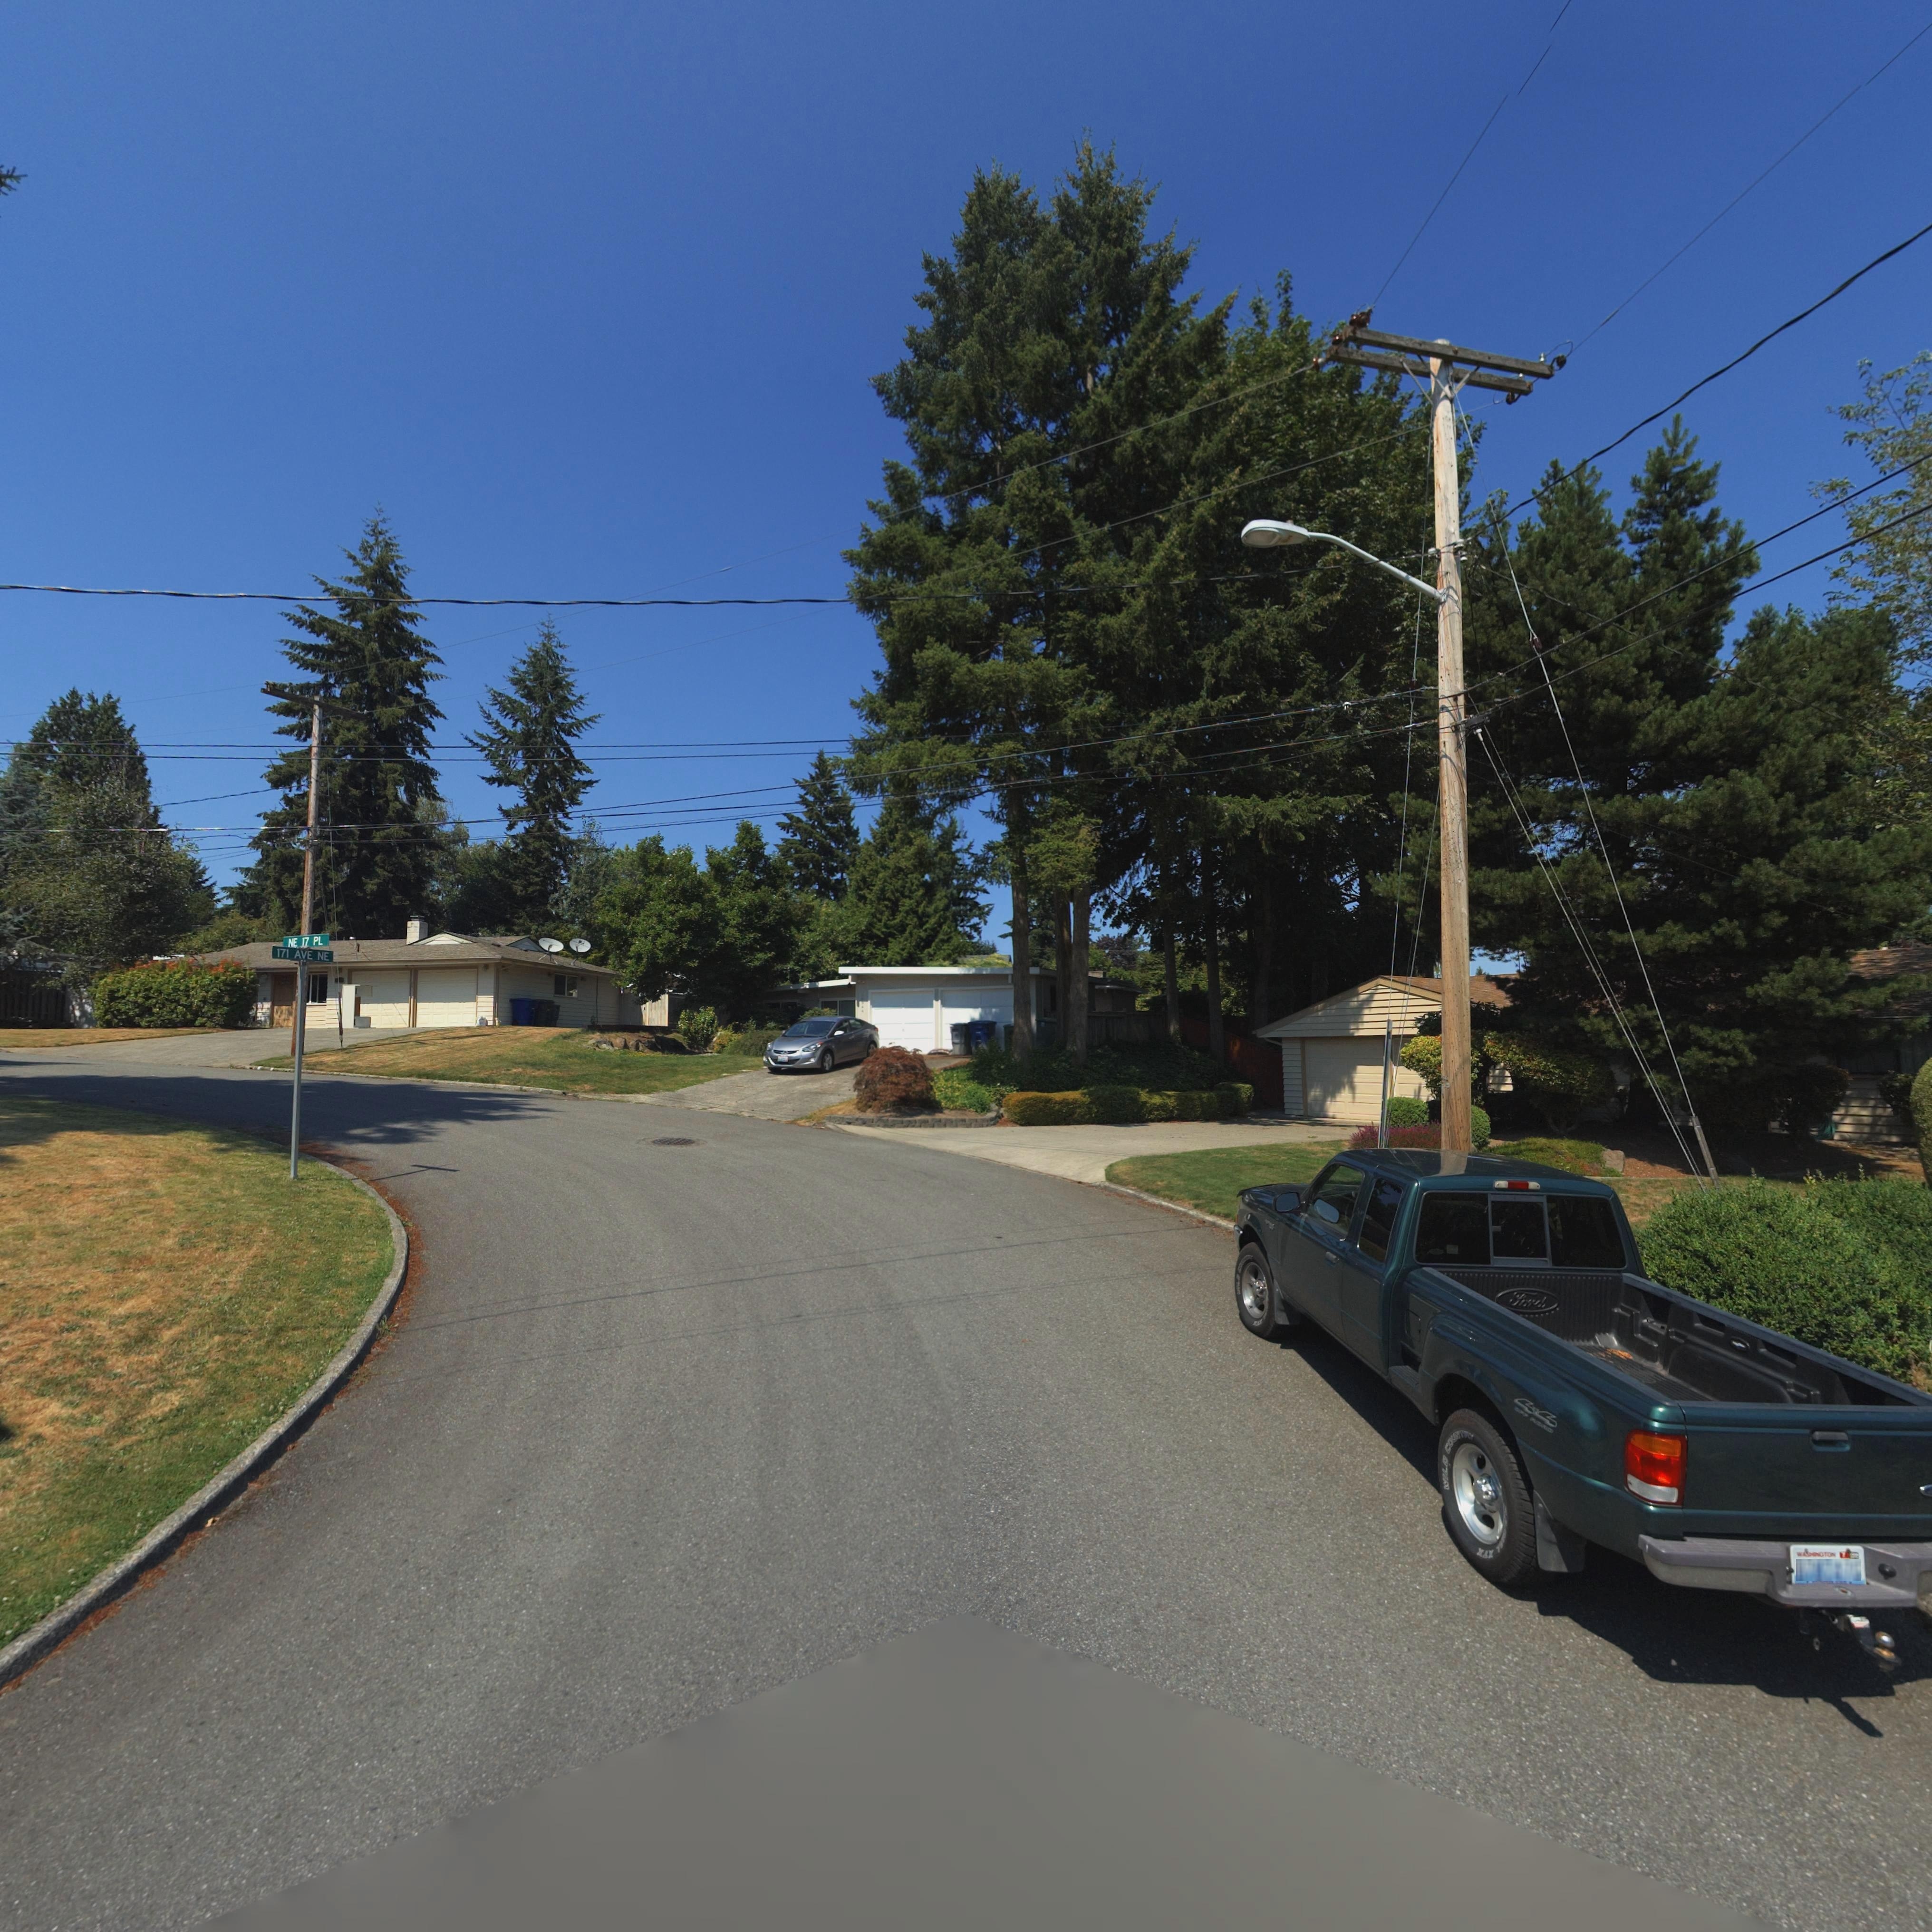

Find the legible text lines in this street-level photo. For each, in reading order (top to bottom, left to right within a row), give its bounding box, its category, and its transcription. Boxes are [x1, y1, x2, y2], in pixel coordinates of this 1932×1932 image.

[288, 935, 324, 947] StreetName: NE 17 PL
[276, 947, 330, 962] StreetName: 171 AVE NE